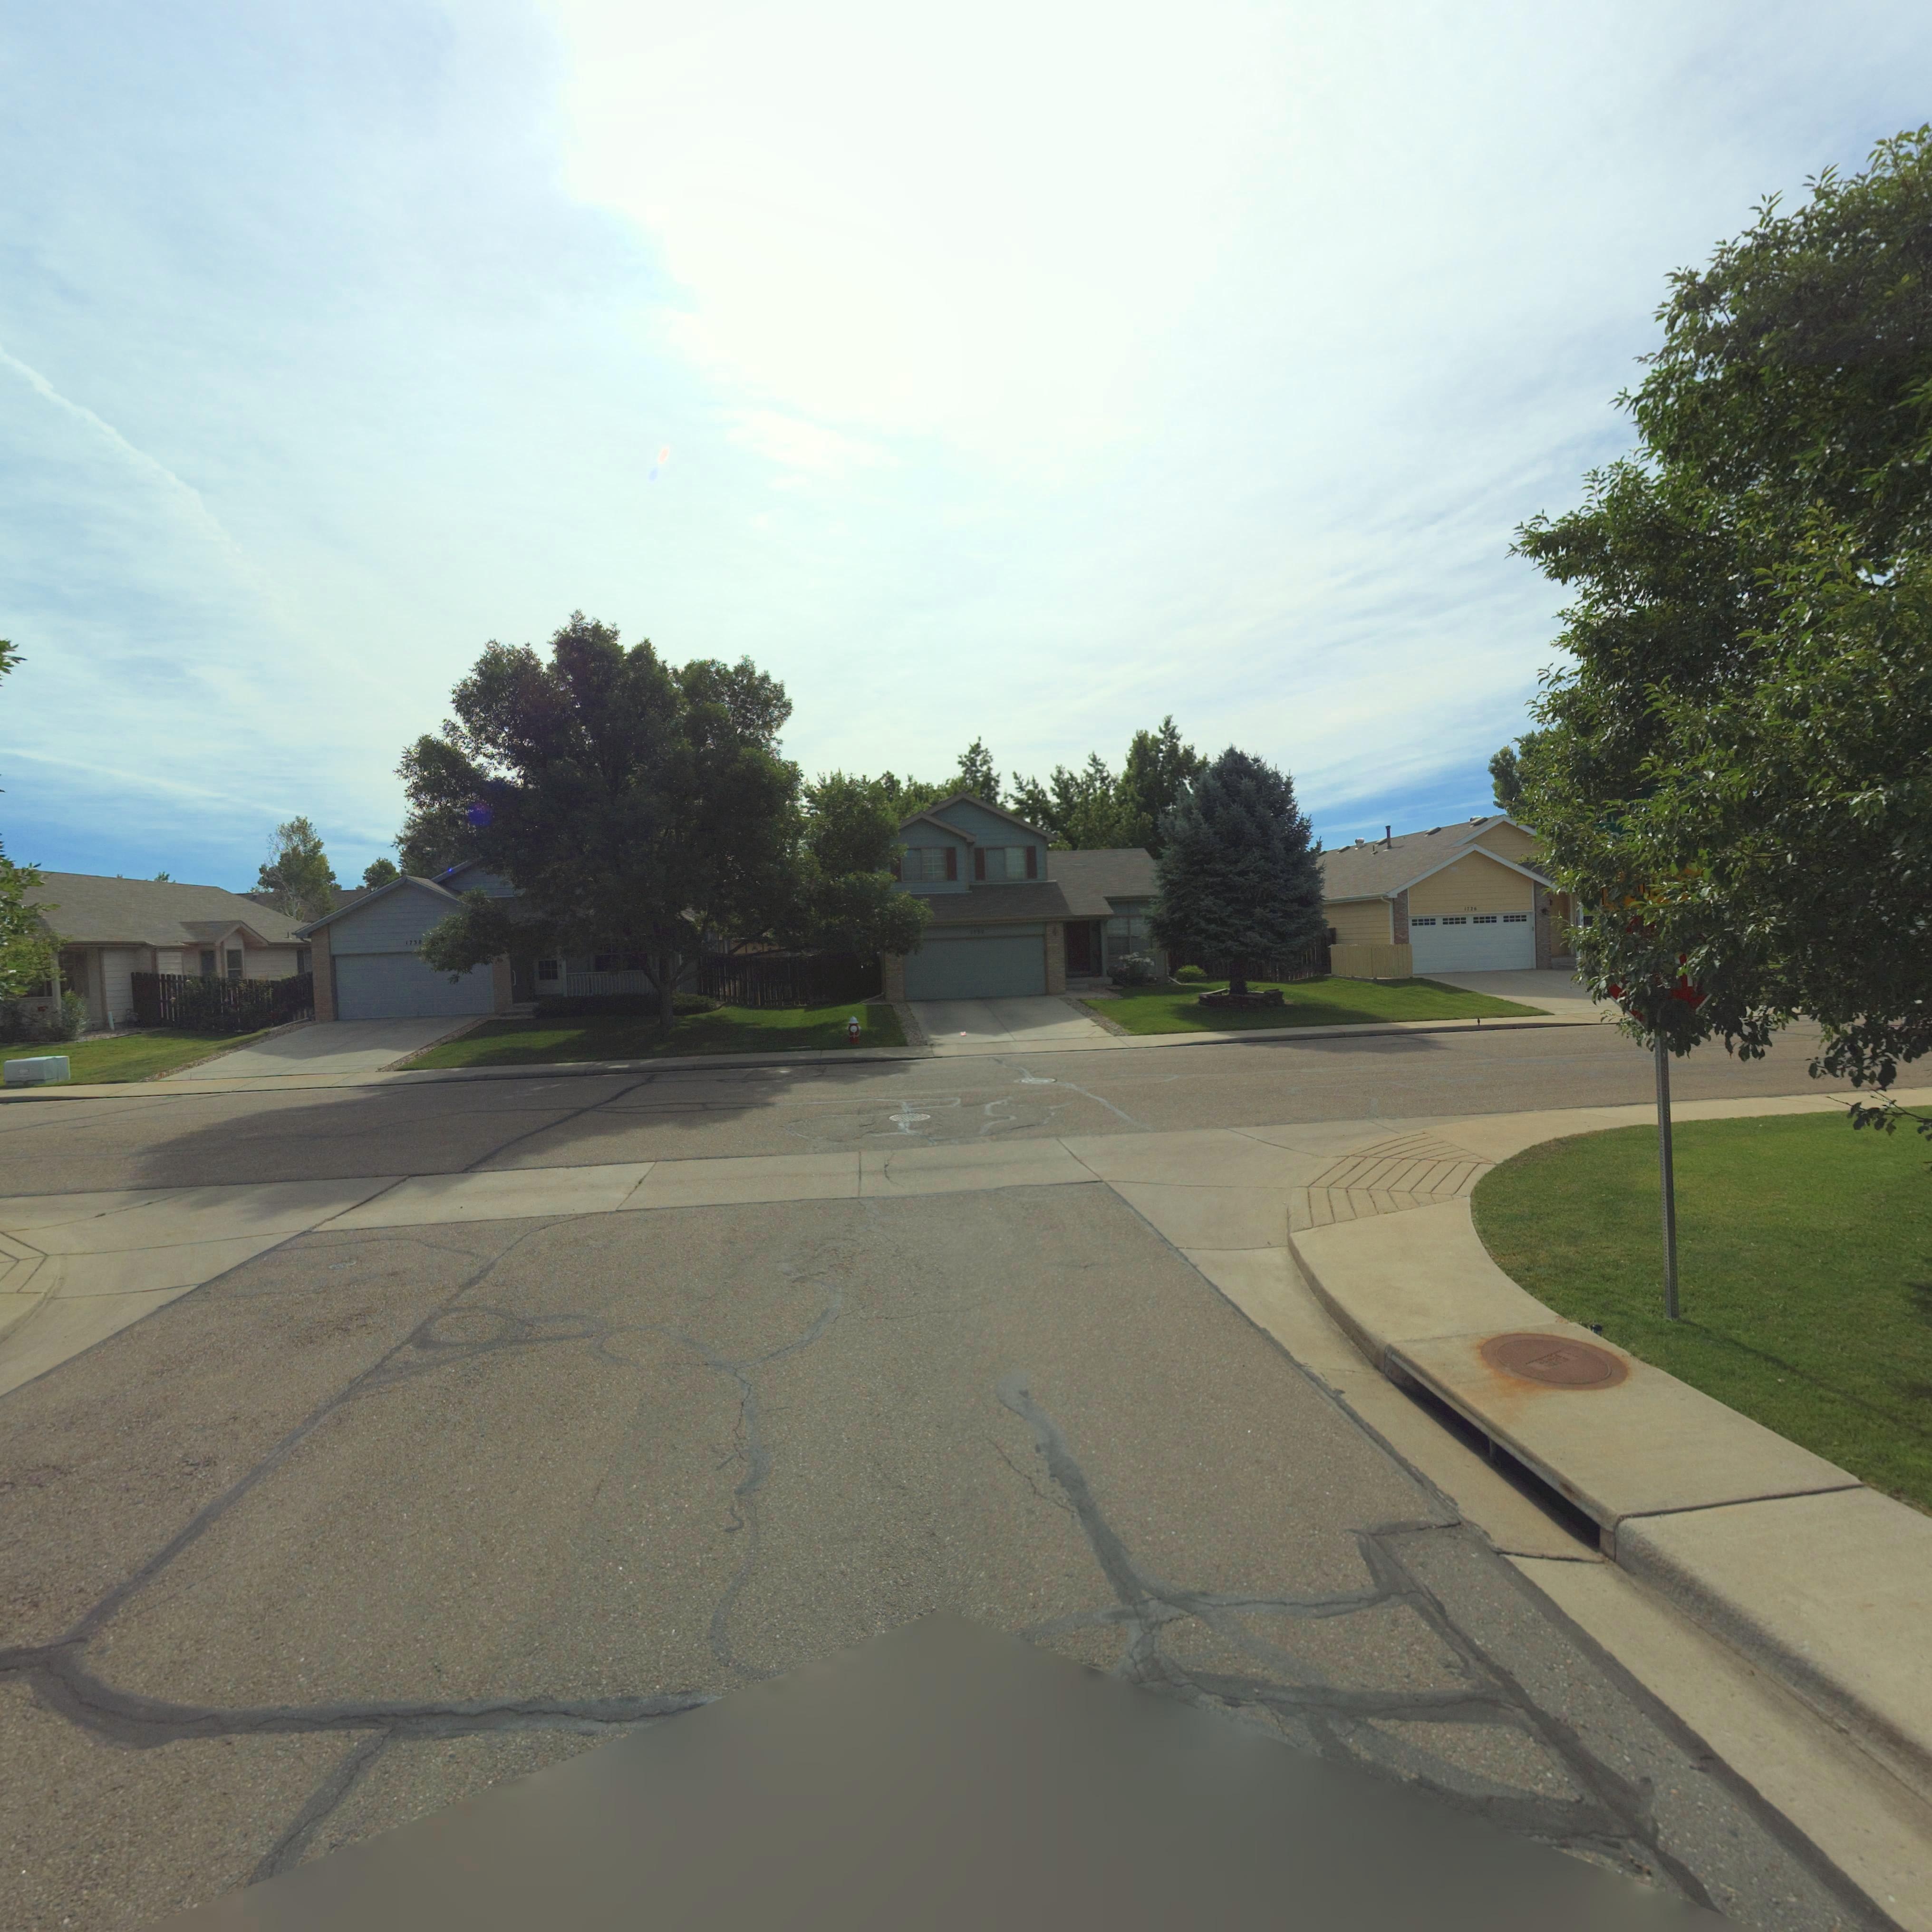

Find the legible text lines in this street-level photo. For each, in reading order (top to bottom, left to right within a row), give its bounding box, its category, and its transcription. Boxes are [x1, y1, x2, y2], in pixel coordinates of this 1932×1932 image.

[1464, 906, 1477, 911] StreetNumber: 1726
[971, 929, 985, 935] StreetNumber: 1732
[406, 939, 422, 945] StreetNumber: 1738